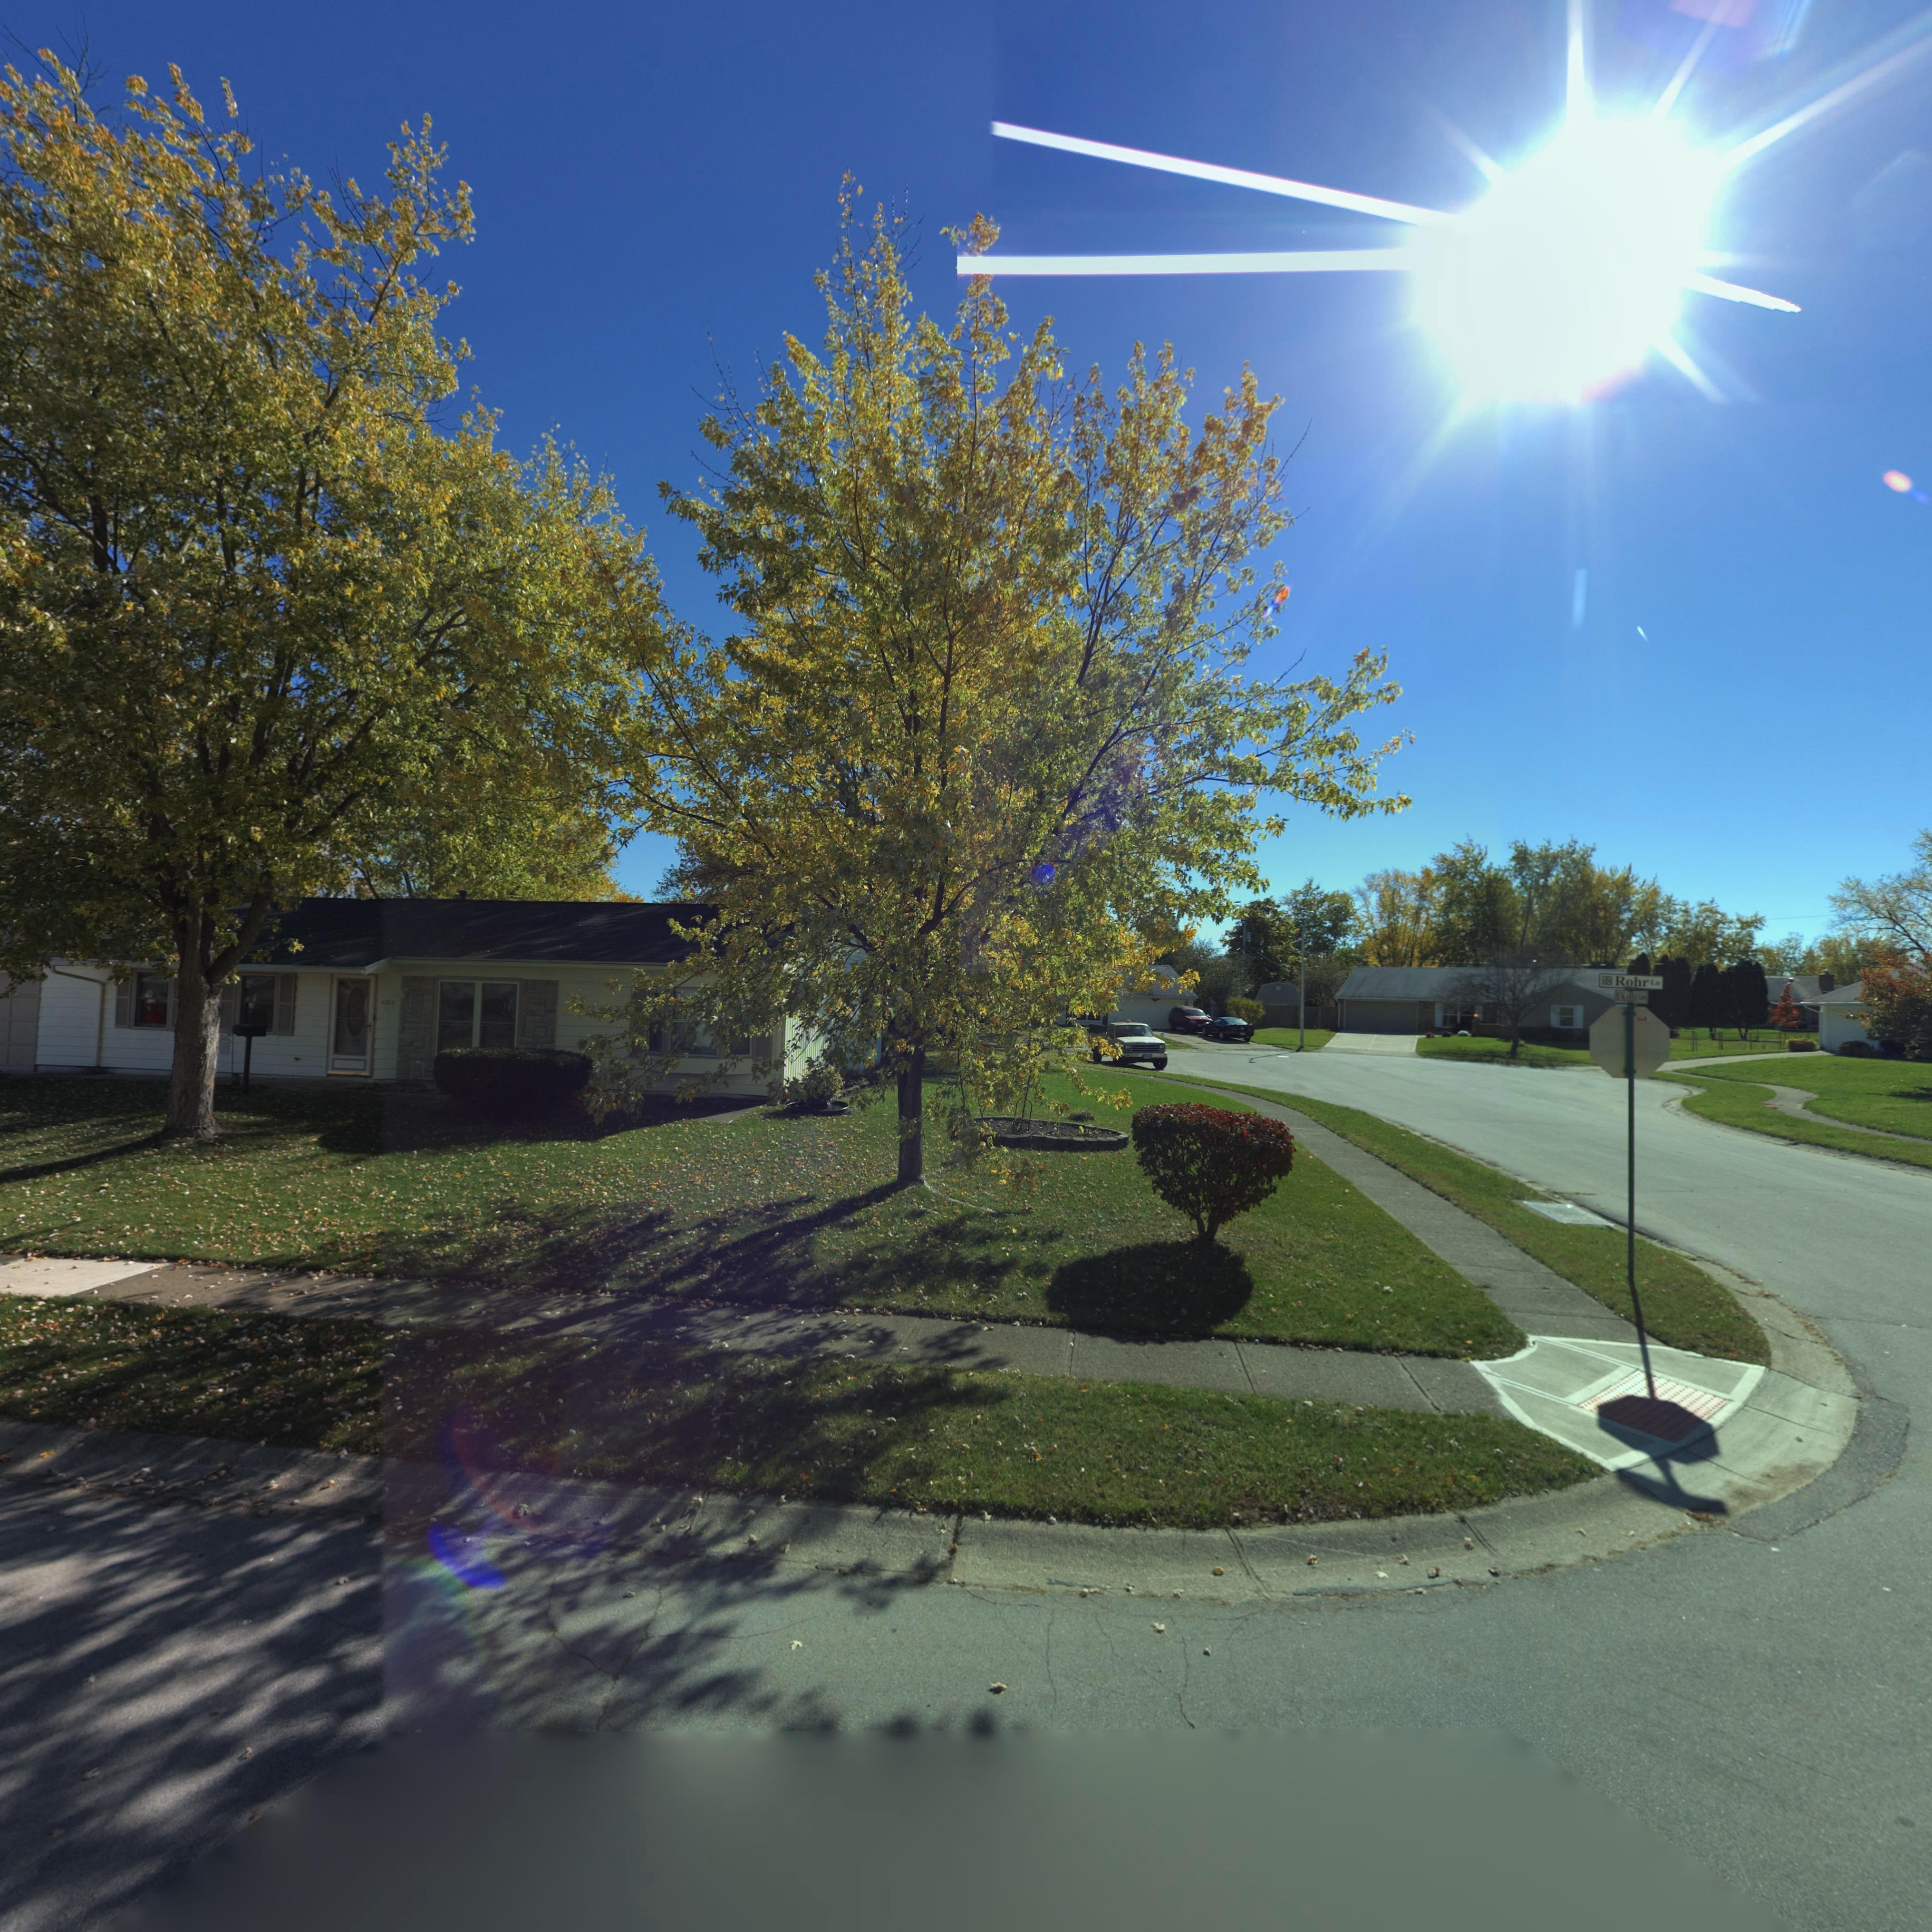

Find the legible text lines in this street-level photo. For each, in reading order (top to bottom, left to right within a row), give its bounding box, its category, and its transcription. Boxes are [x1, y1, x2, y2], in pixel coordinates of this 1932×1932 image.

[384, 1000, 395, 1005] StreetNumber: 502